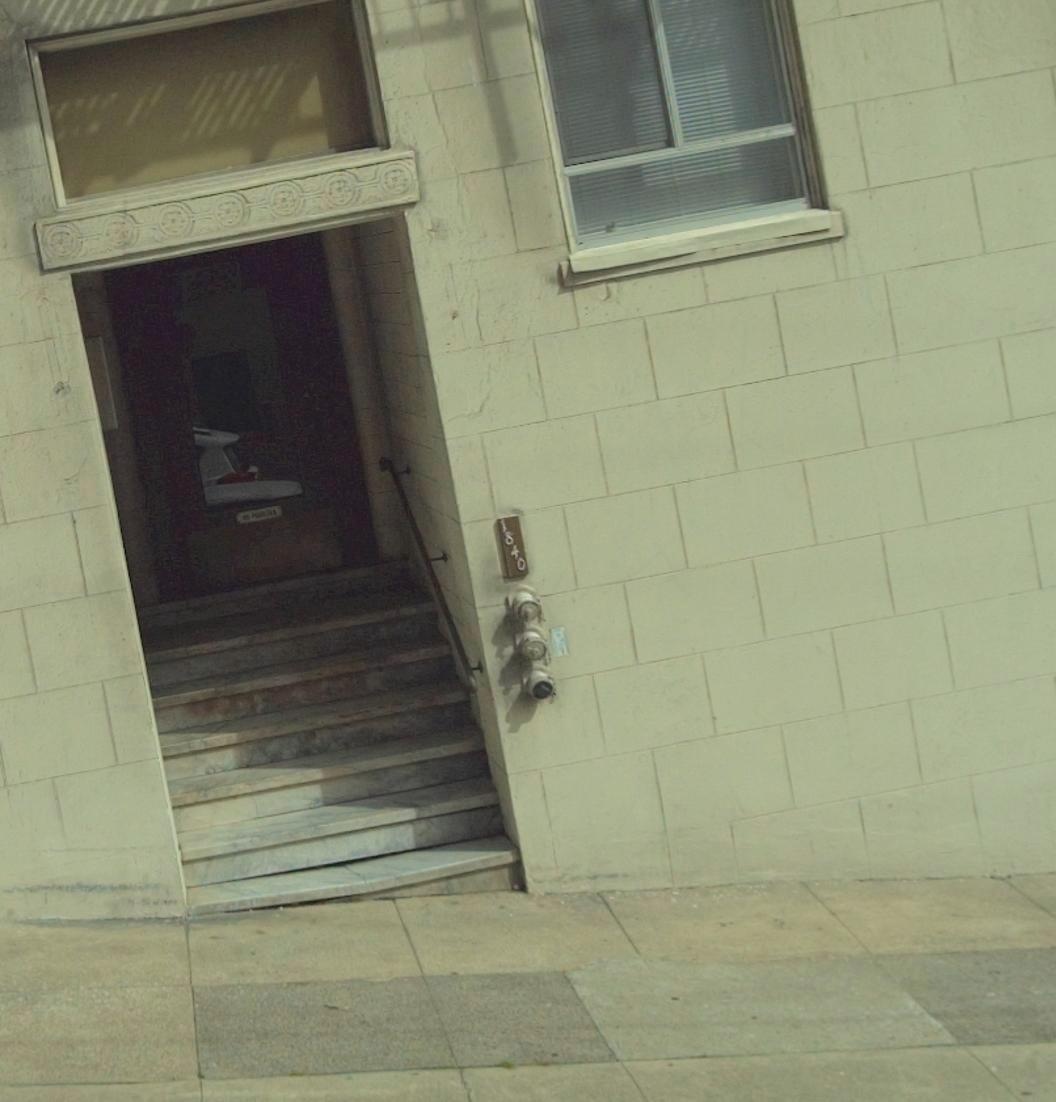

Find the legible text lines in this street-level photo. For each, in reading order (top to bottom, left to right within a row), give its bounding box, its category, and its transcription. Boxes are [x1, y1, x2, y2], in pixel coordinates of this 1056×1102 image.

[494, 514, 532, 574] StreetNumber: 1840